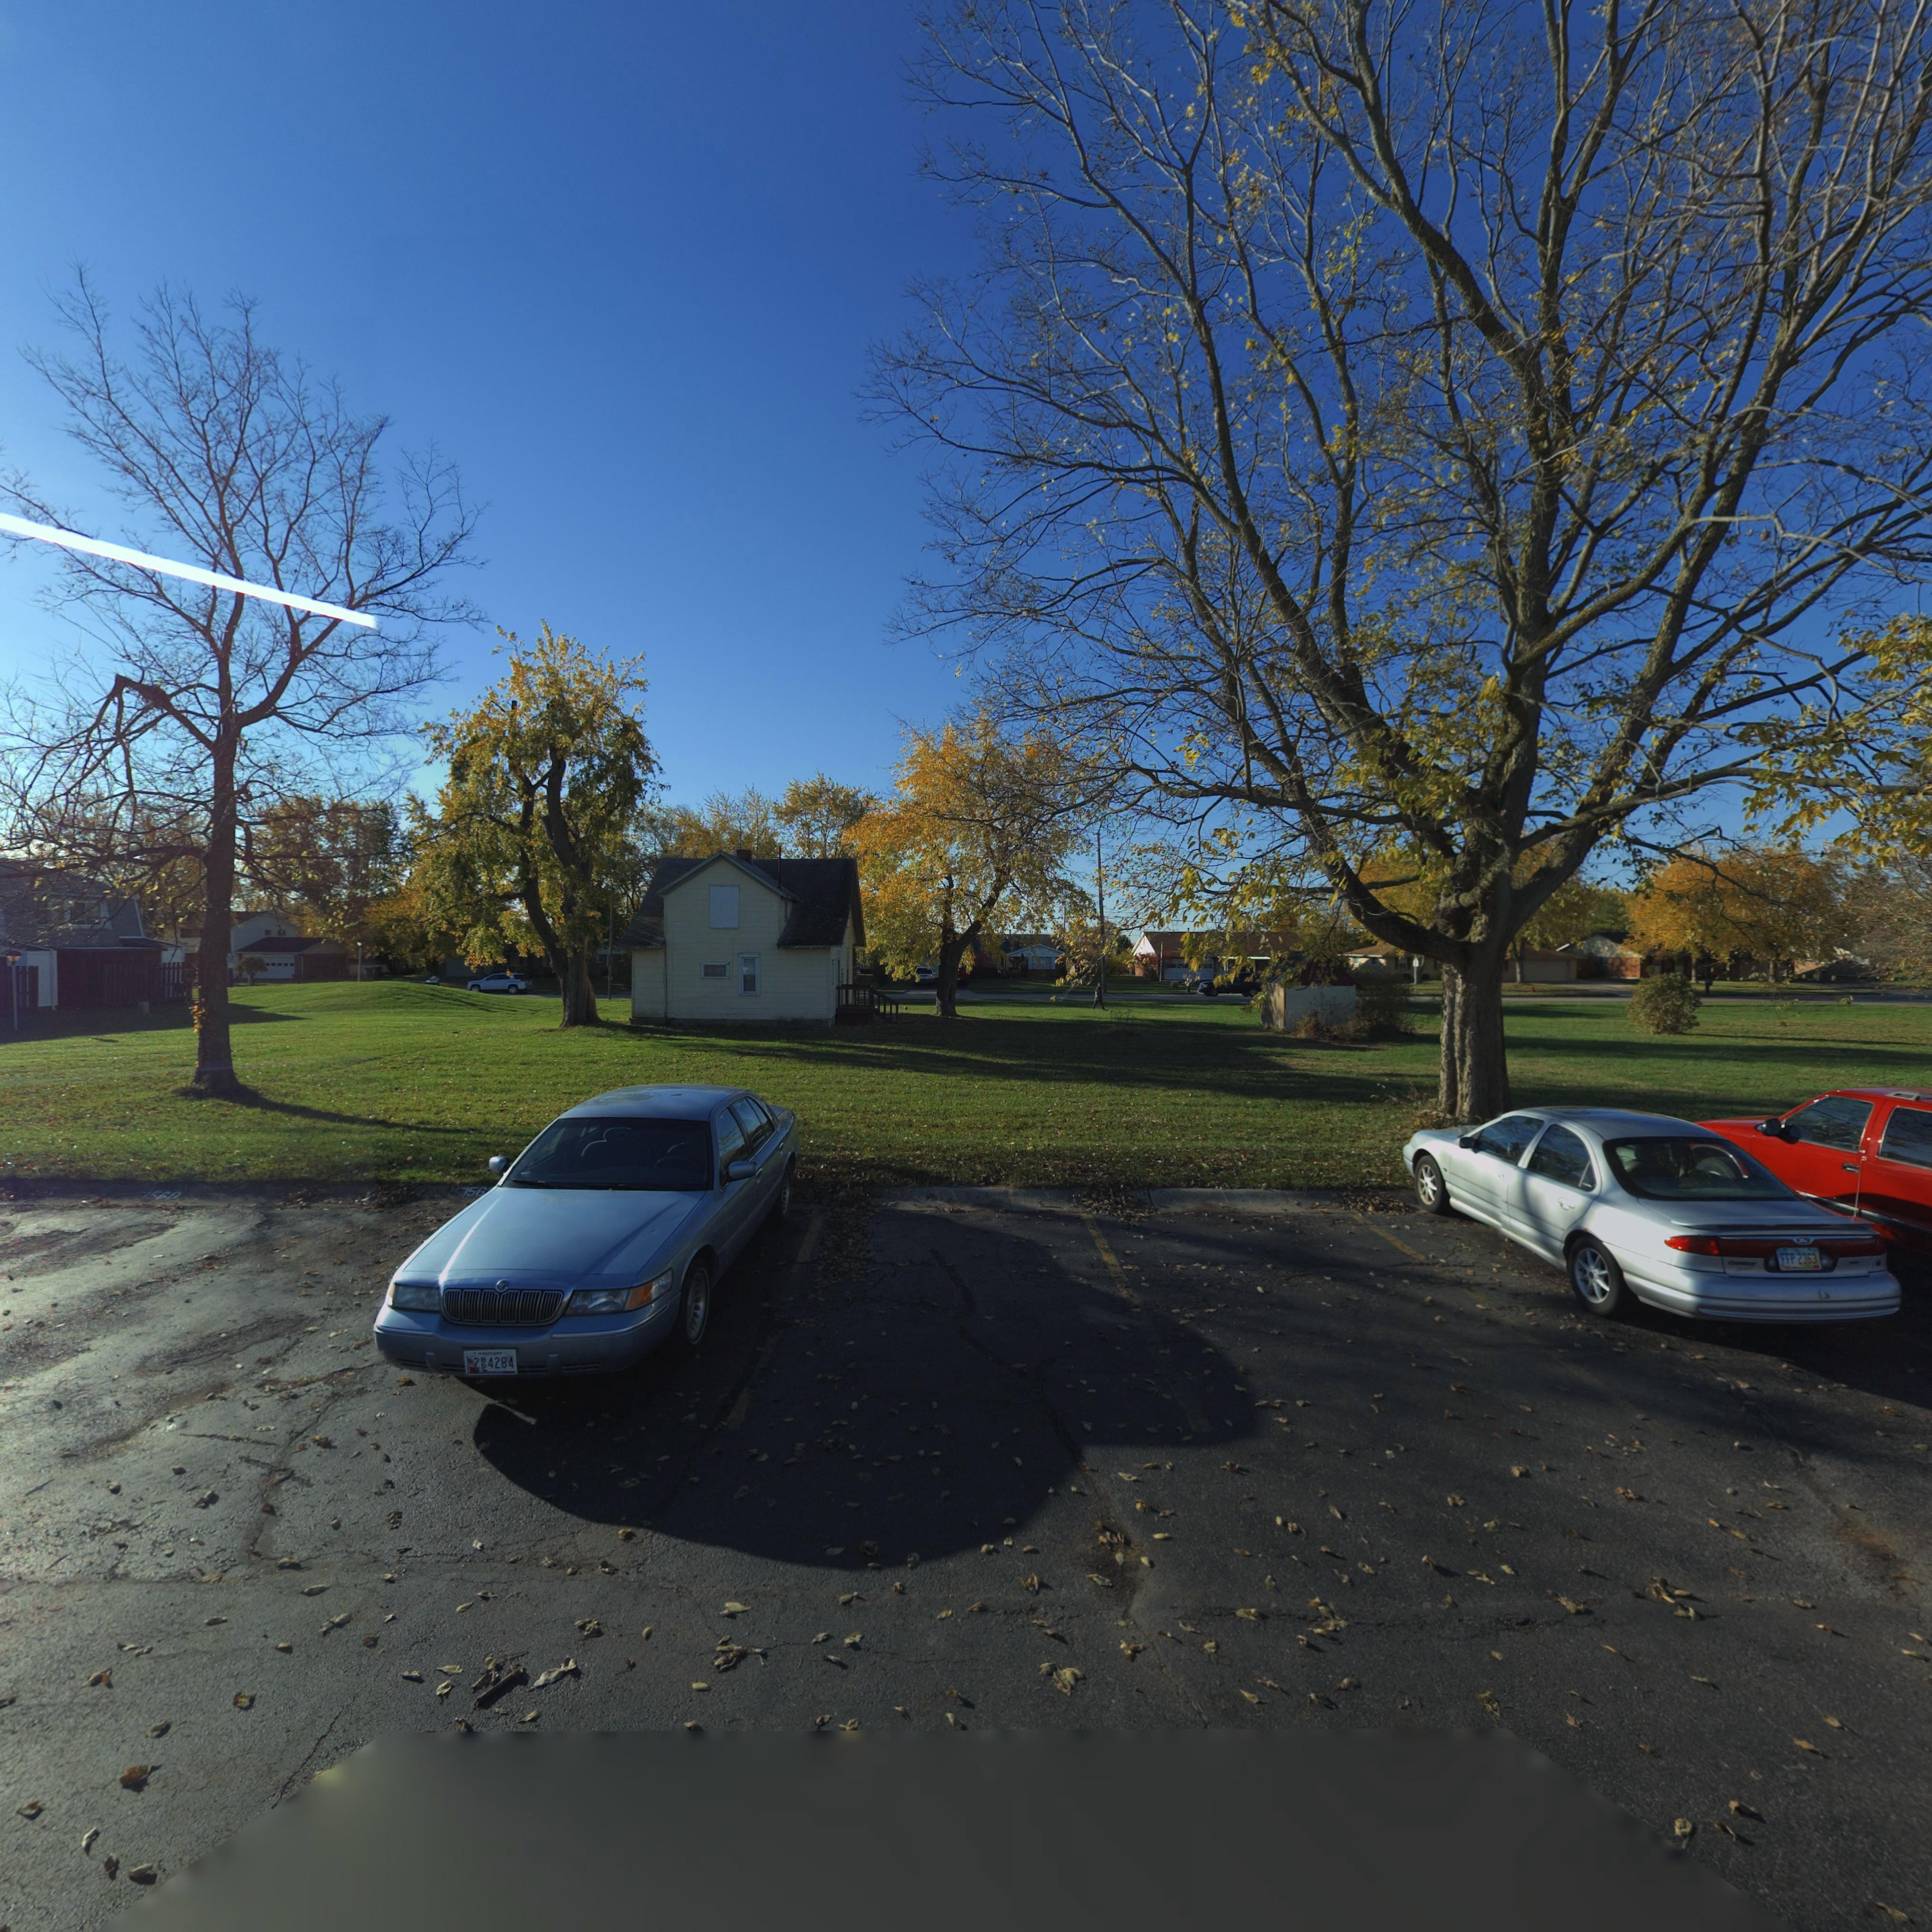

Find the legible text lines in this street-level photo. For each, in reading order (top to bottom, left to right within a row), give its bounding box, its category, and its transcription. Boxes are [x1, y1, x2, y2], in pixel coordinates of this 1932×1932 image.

[140, 1189, 184, 1201] StreetNumber: *560
[460, 1185, 489, 1198] StreetNumber: 756
[473, 1354, 515, 1371] None: 2*4284